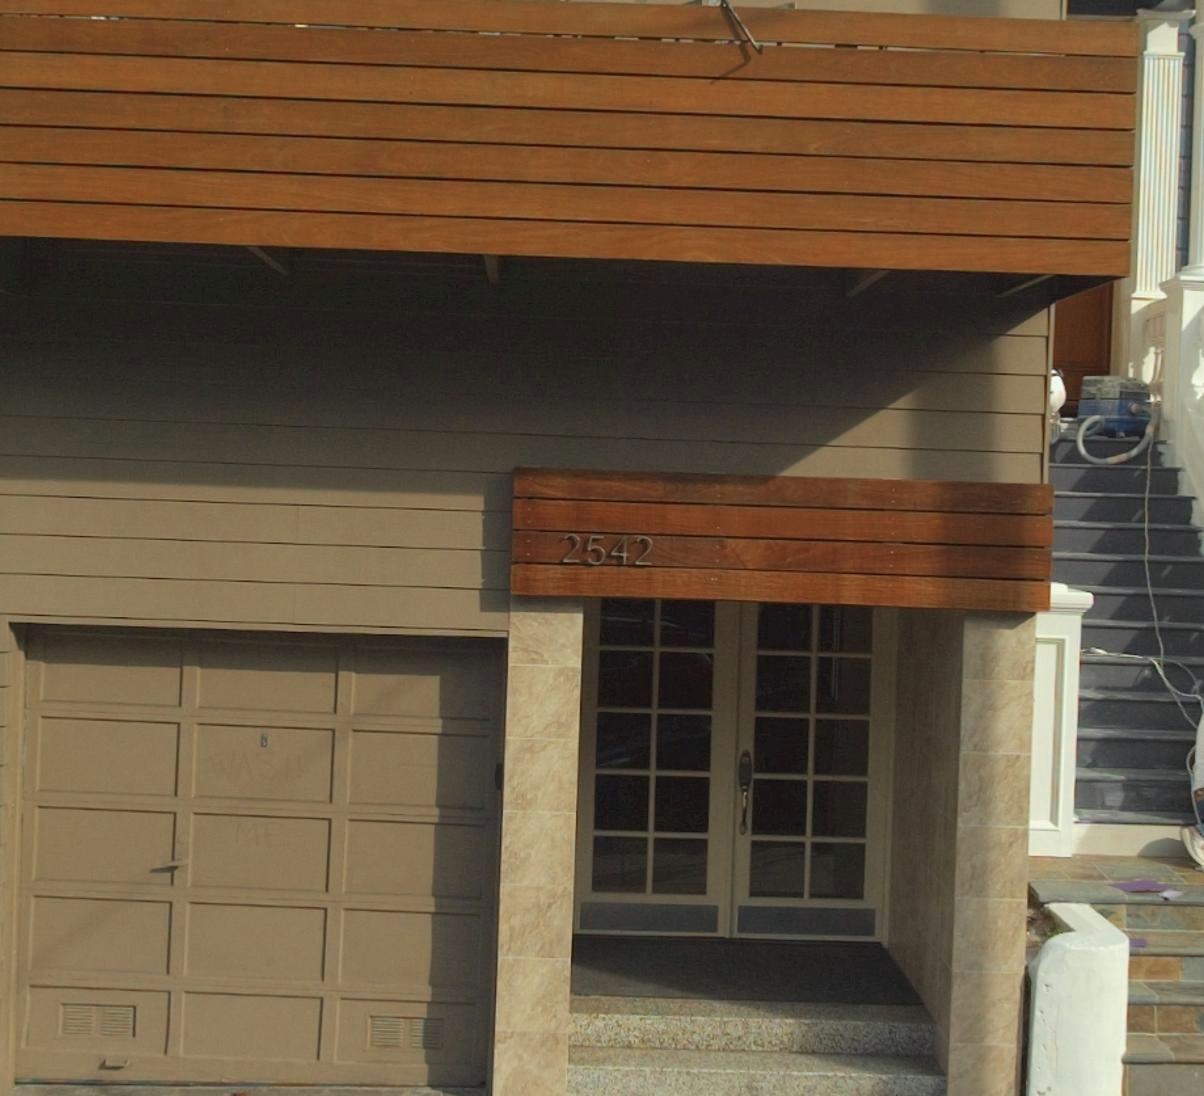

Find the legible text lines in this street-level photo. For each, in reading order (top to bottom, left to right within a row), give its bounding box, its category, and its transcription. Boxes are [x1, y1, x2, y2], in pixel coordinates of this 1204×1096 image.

[559, 530, 656, 569] StreetNumber: 2542